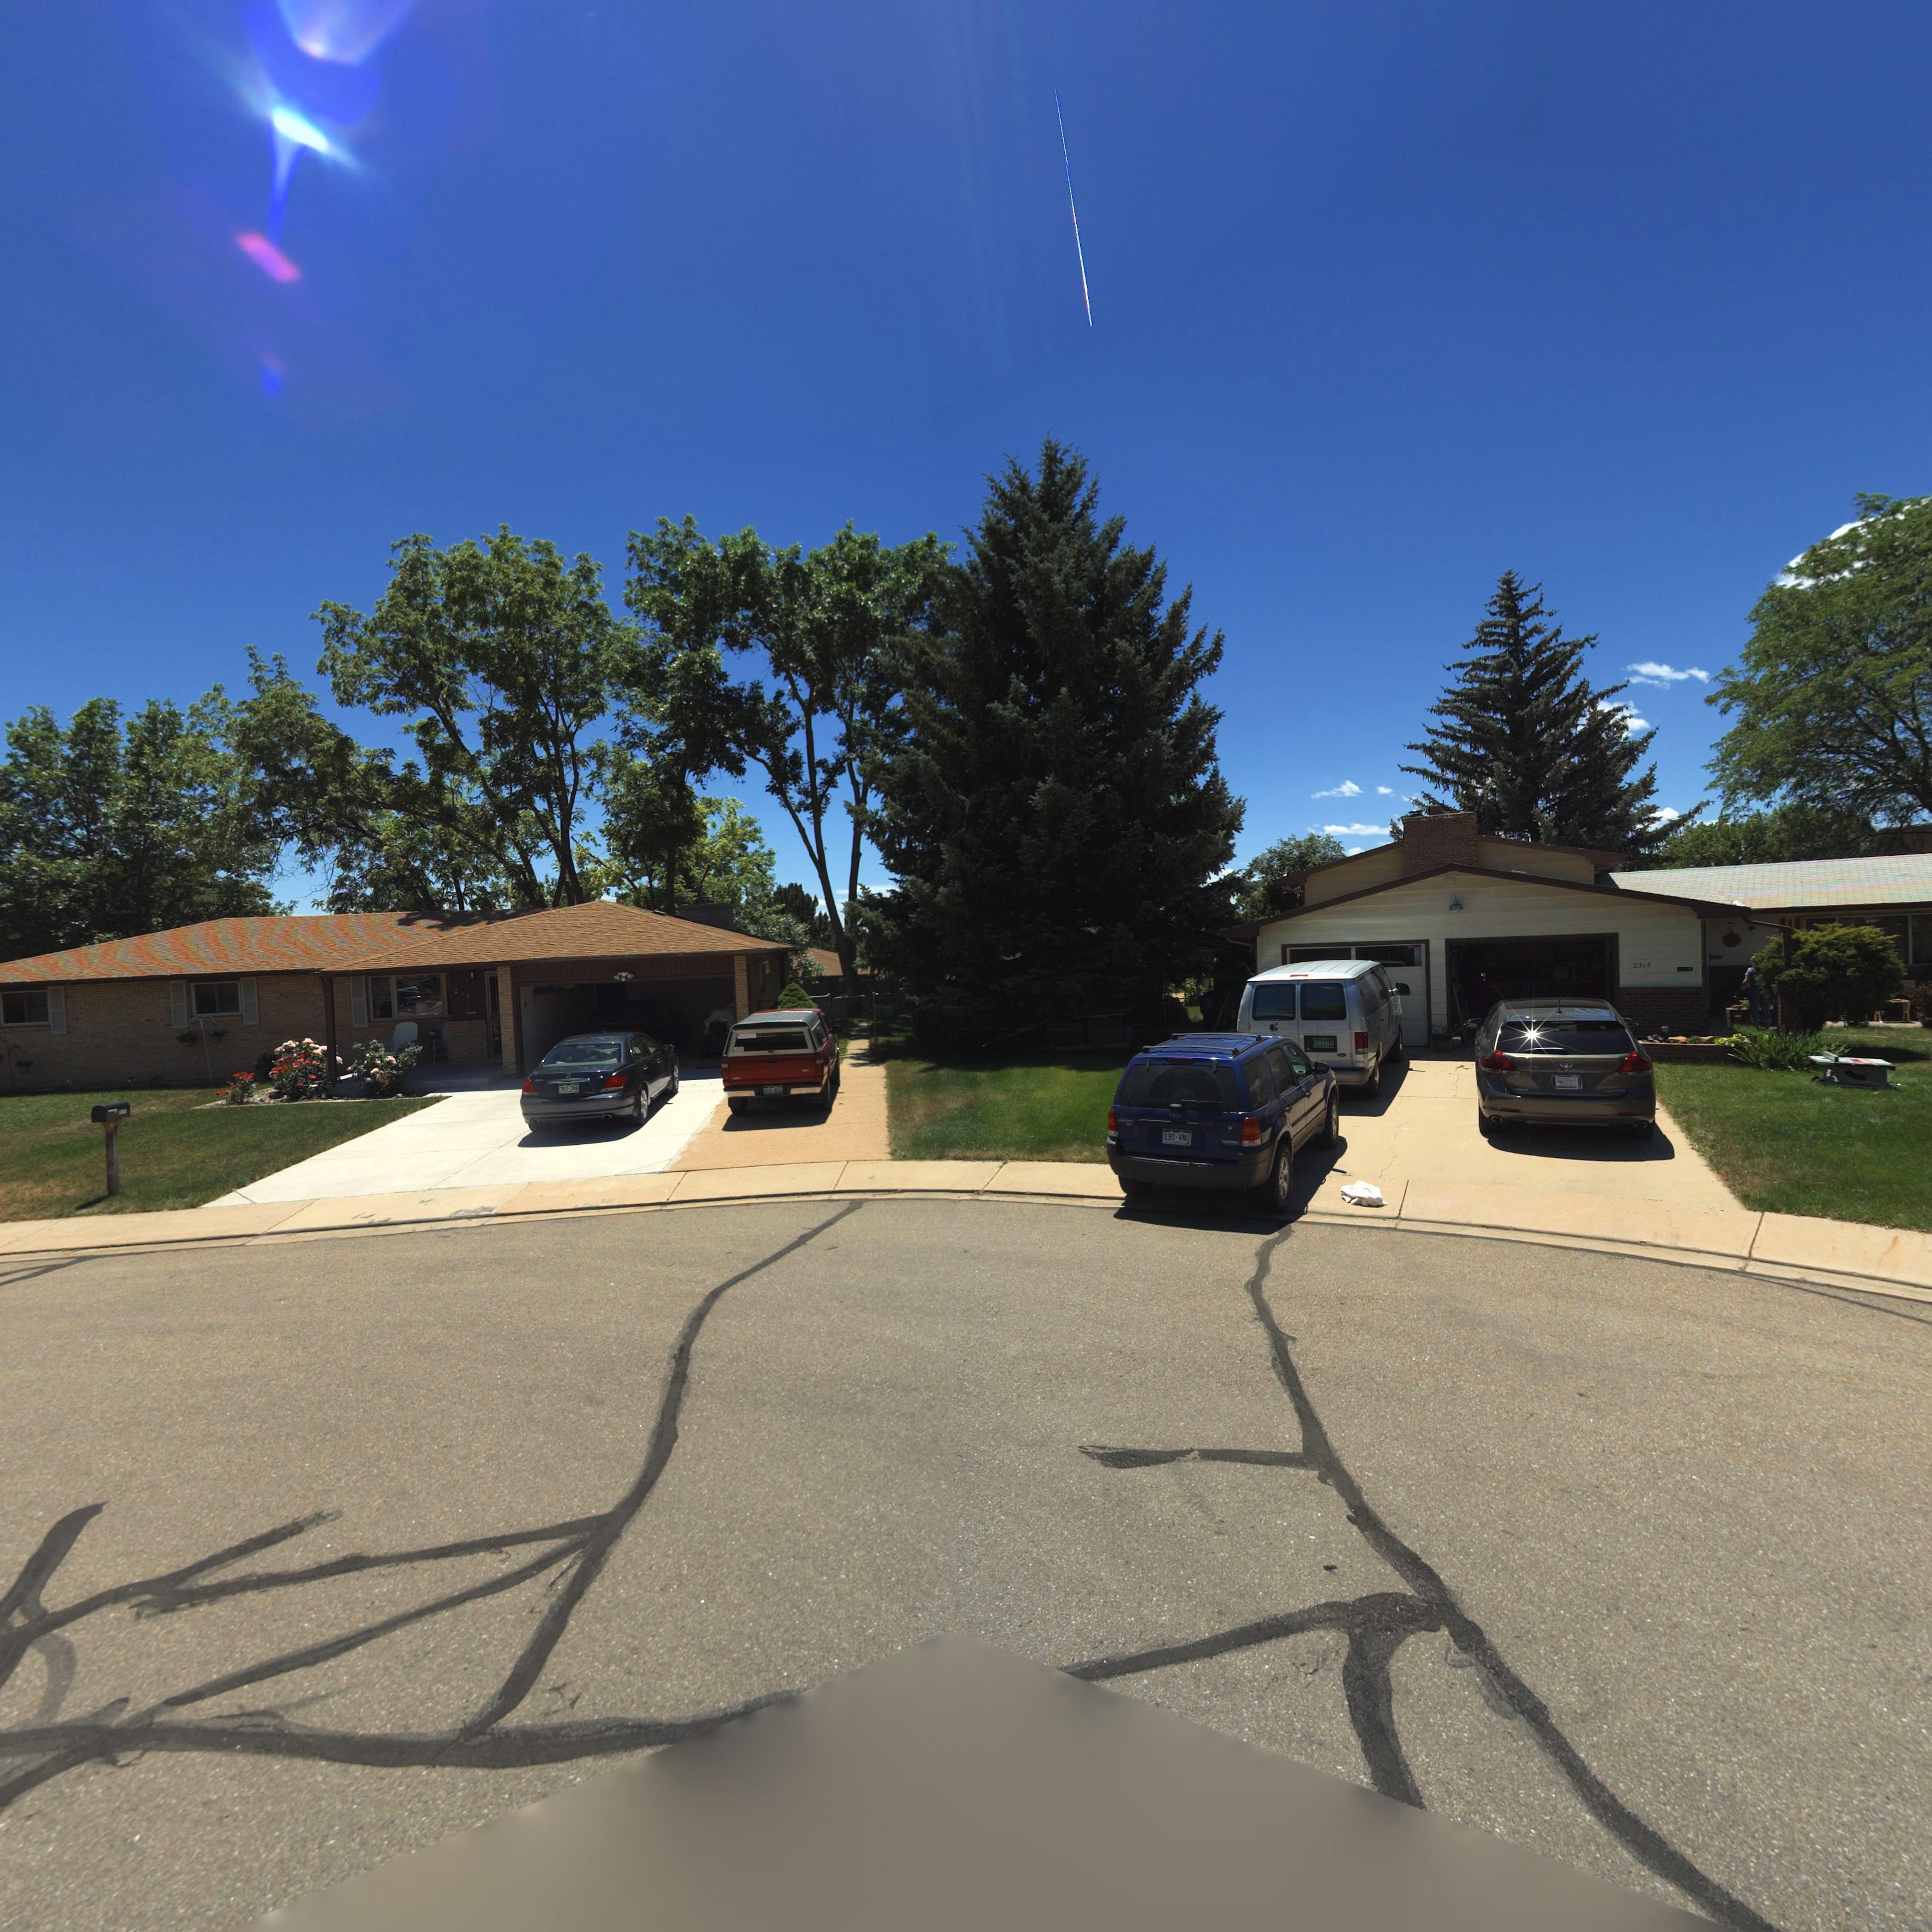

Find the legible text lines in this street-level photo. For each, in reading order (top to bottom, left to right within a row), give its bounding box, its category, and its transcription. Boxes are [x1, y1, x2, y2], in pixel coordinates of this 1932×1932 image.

[1632, 962, 1651, 968] StreetNumber: 2315
[454, 987, 476, 1003] StreetNumber: 231*